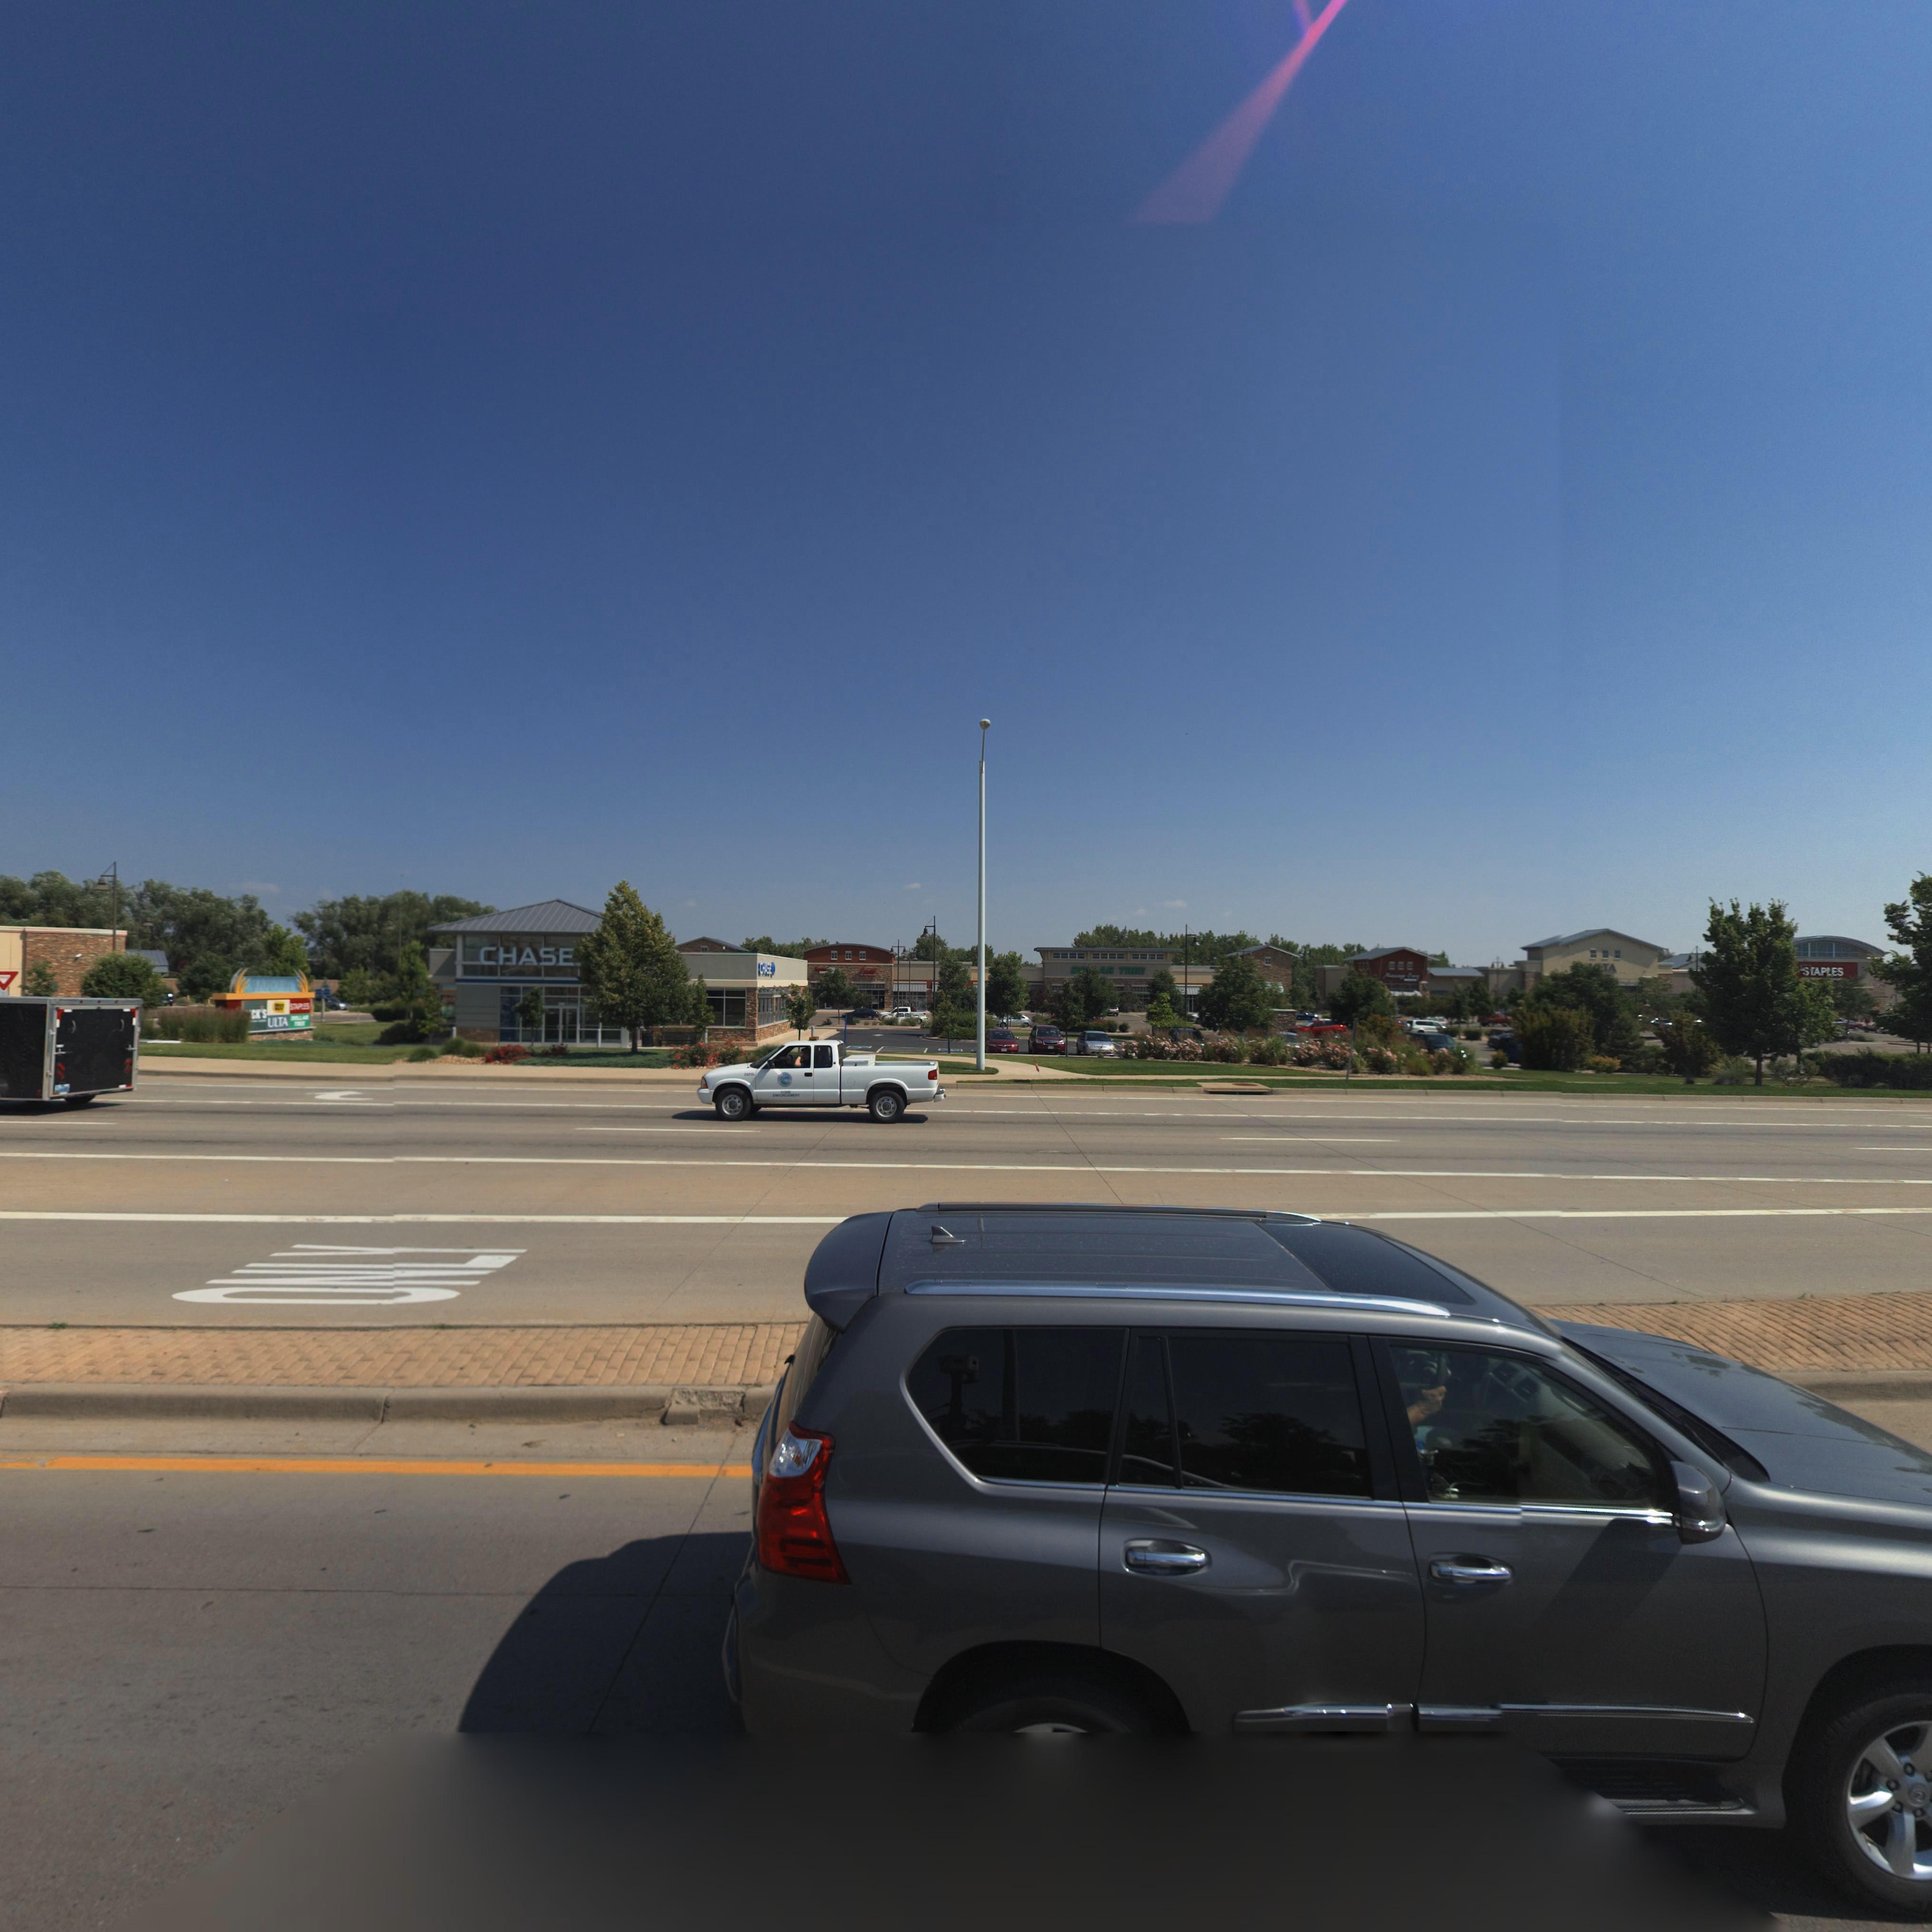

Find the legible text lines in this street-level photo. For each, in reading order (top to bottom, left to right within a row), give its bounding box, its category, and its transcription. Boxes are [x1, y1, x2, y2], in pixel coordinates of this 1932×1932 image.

[479, 946, 575, 966] BusinessName: CHASE
[760, 962, 772, 975] BusinessName: CHASE
[814, 965, 841, 972] BusinessName: Spe*******
[1070, 965, 1147, 975] BusinessName: D***AR TREE
[1381, 972, 1420, 981] BusinessName: M****** E***
[1587, 962, 1618, 973] BusinessName: **TA
[1802, 966, 1844, 976] BusinessName: S*APLES
[243, 1005, 268, 1020] BusinessName: **CK'S
[274, 1006, 283, 1011] BusinessName: **Y
[274, 1003, 284, 1007] BusinessName: *E**
[289, 1003, 310, 1010] BusinessName: STAPLES
[267, 1016, 289, 1028] BusinessName: ULTA
[290, 1014, 309, 1021] BusinessName: DOL***